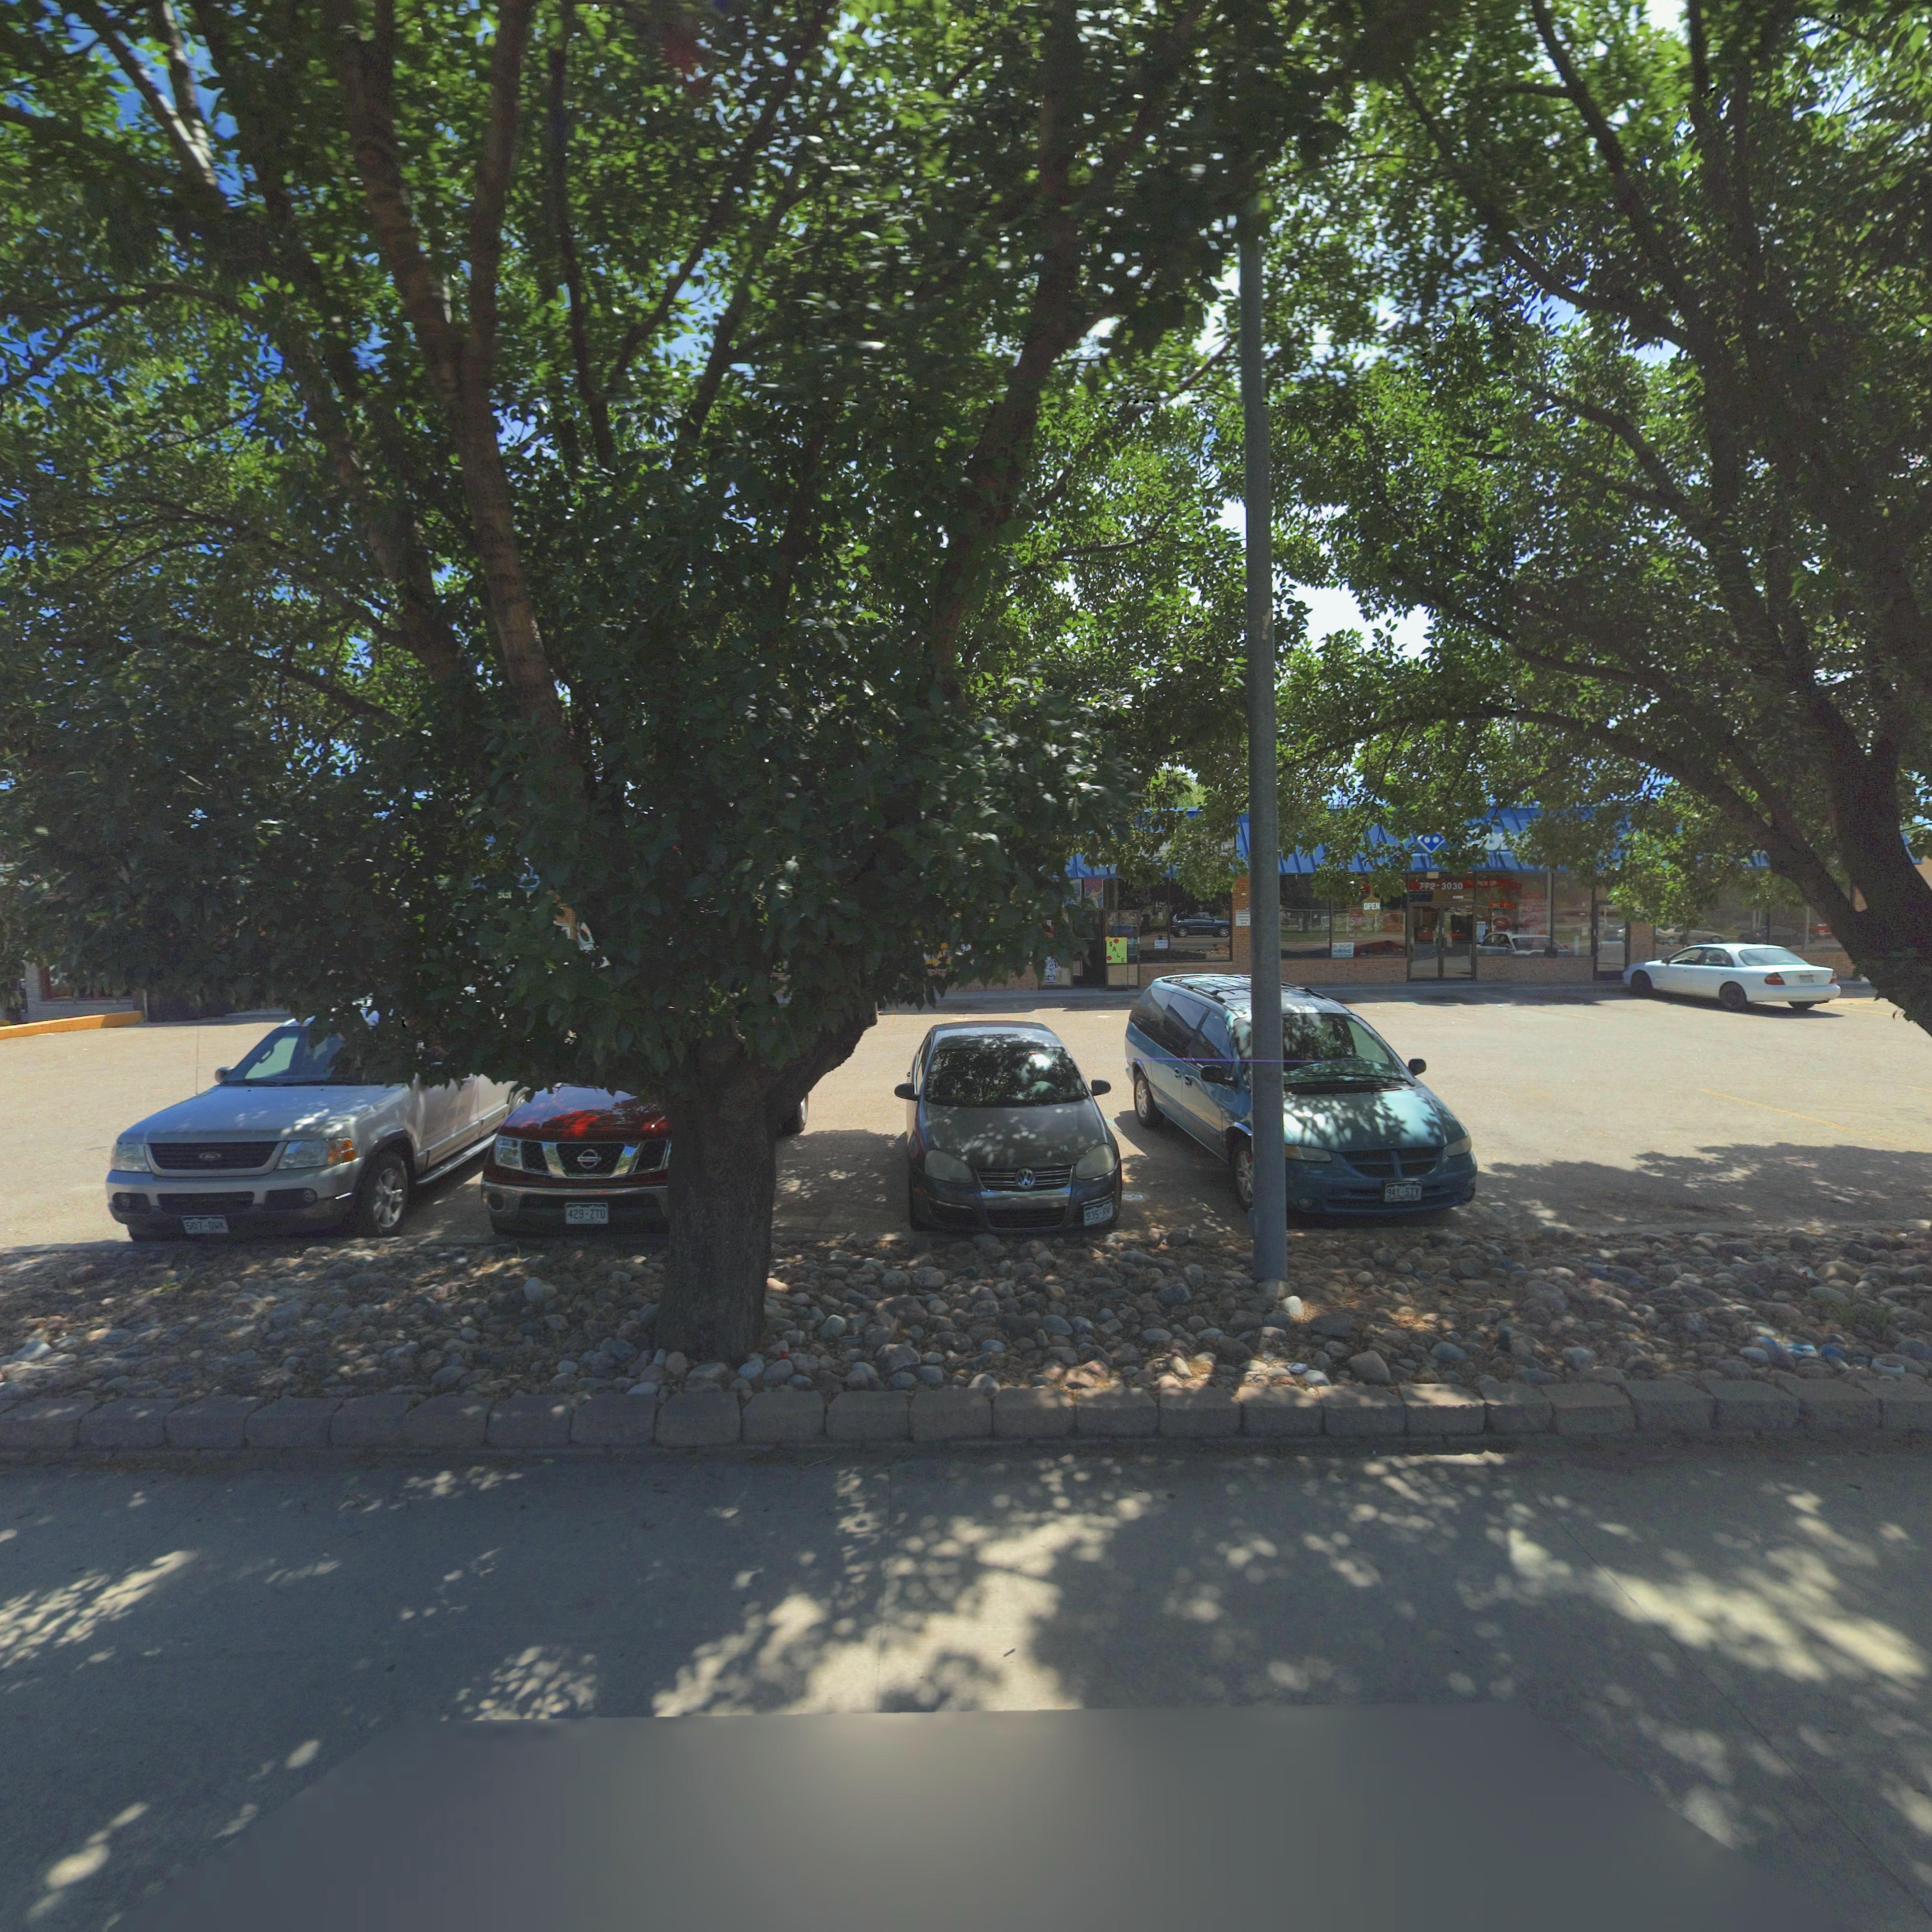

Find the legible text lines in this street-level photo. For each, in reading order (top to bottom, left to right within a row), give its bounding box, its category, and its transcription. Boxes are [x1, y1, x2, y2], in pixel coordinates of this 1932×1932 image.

[1452, 895, 1464, 899] StreetNumber: 1***